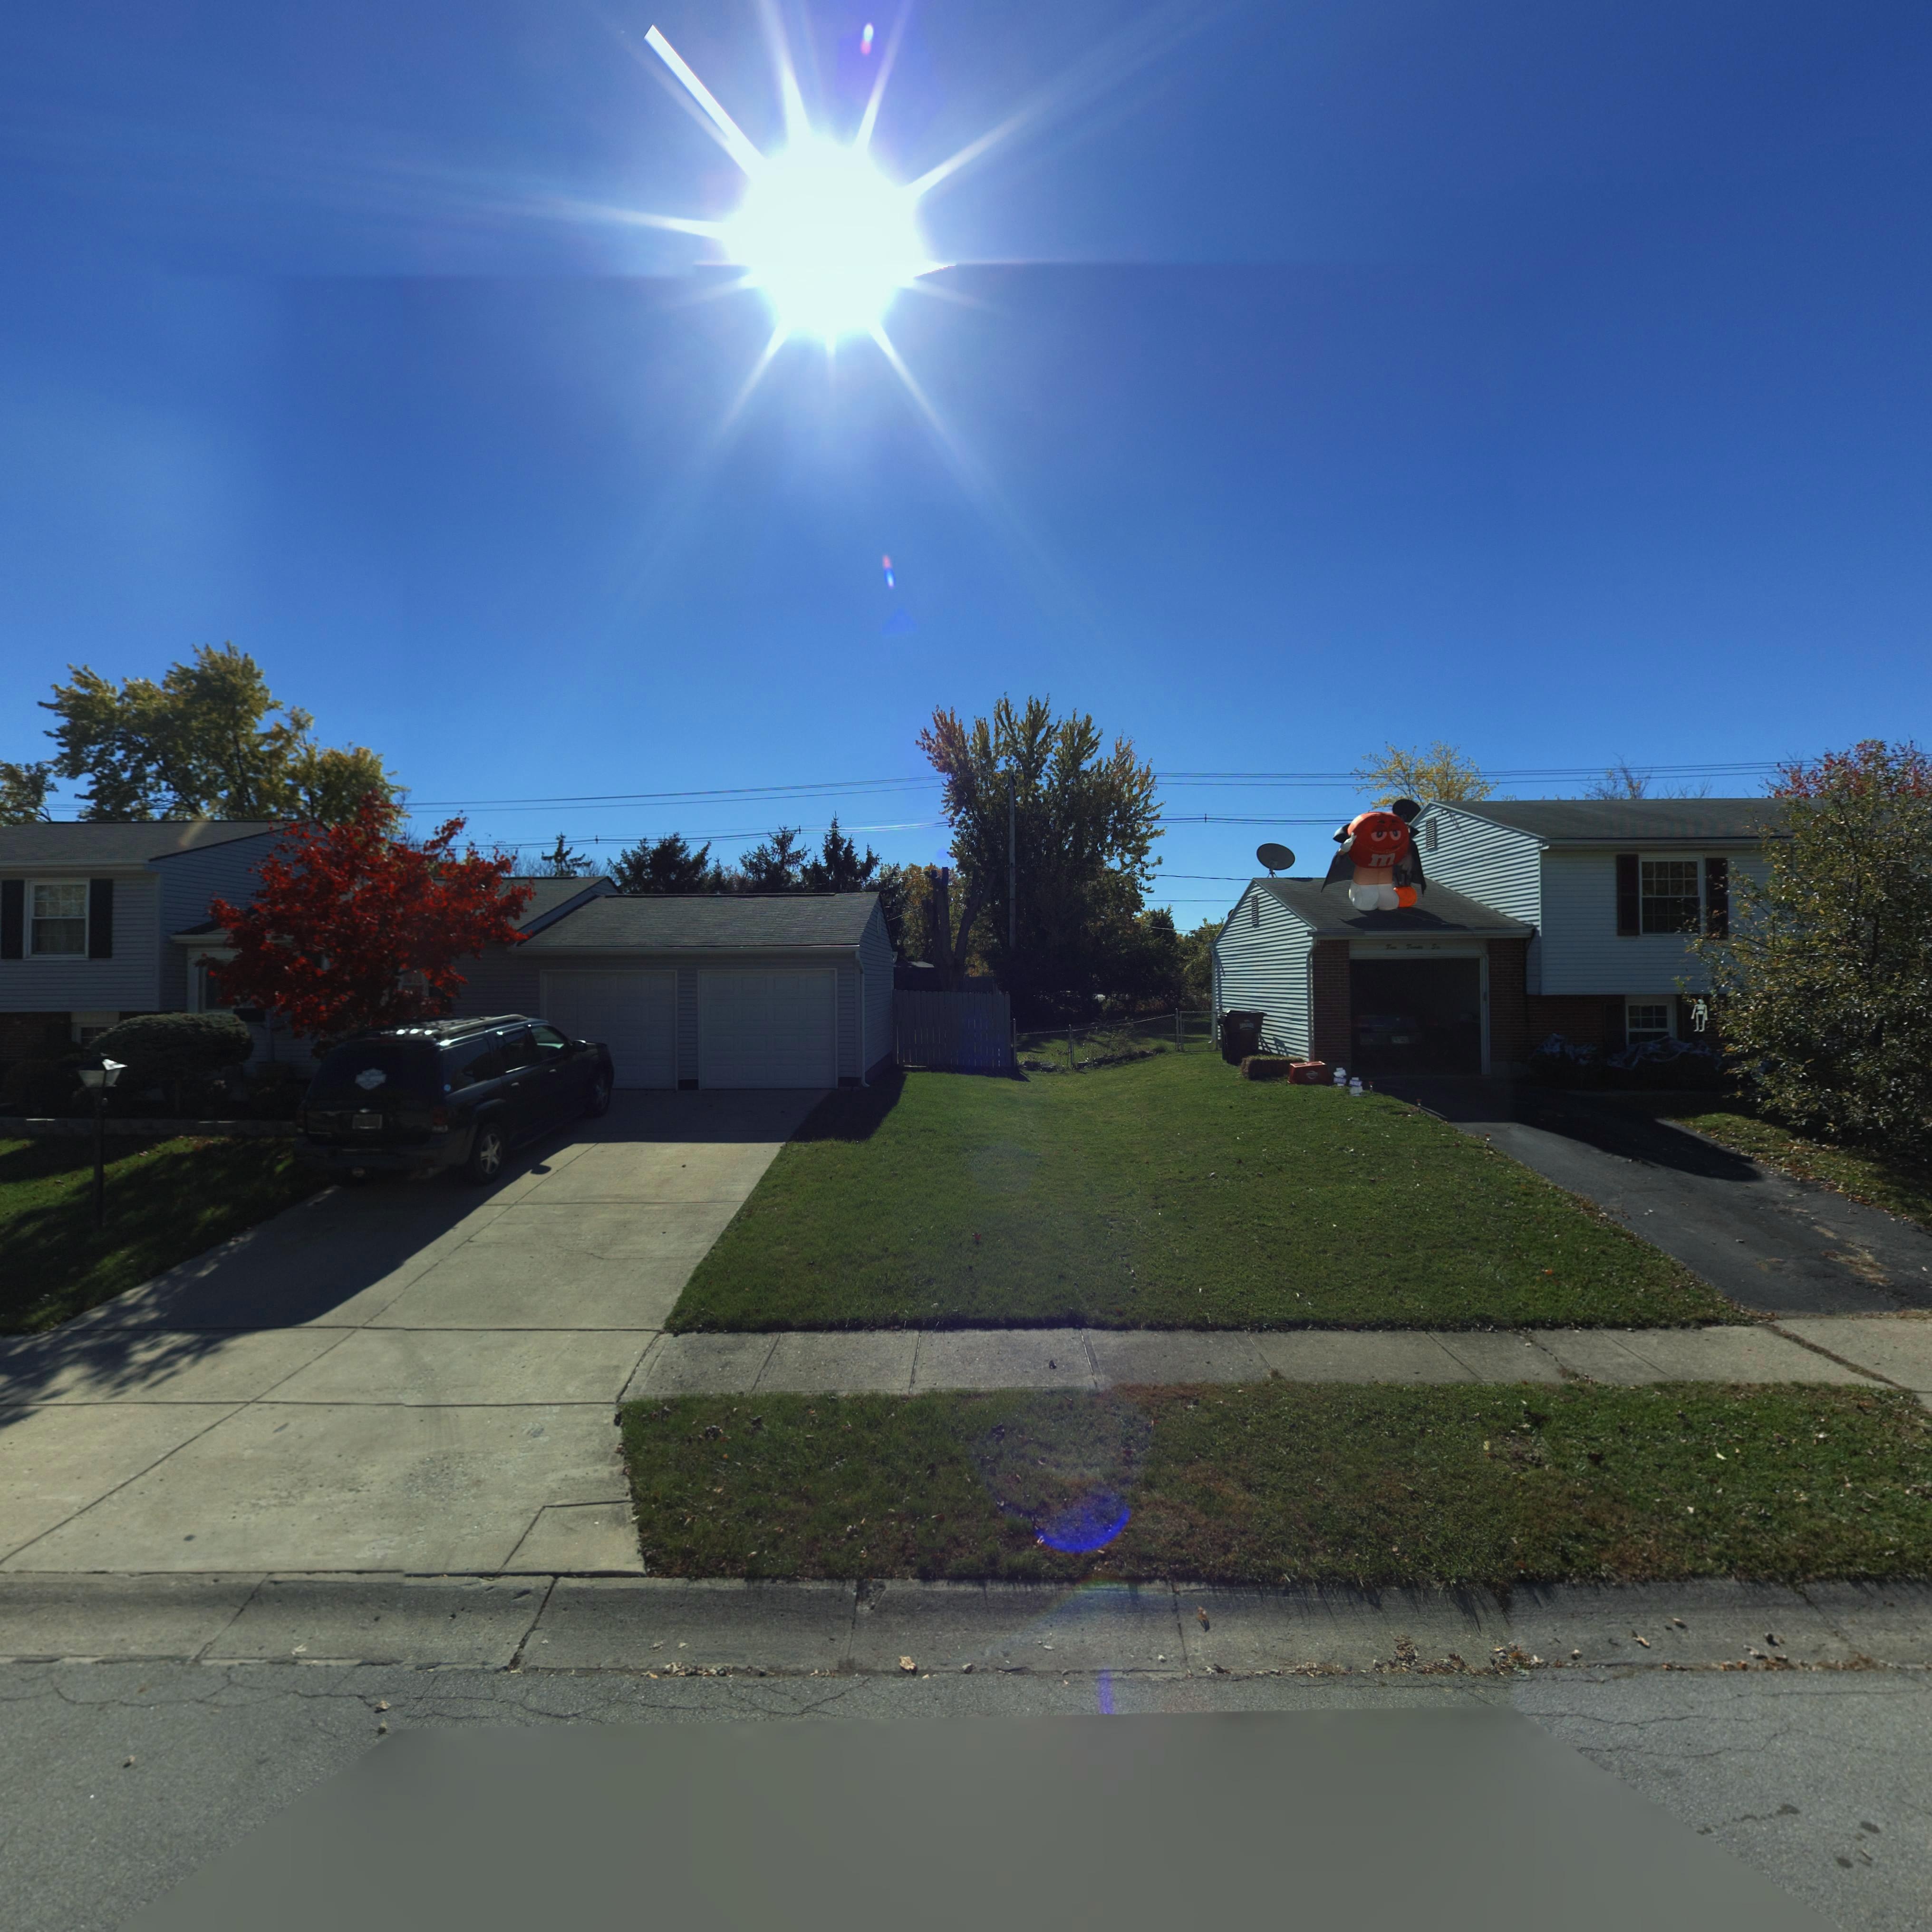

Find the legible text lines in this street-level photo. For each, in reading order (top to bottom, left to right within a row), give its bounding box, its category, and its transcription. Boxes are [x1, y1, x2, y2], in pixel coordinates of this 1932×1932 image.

[1385, 943, 1393, 950] StreetNumber: T
[1405, 944, 1413, 950] StreetNumber: T
[1430, 943, 1437, 950] StreetNumber: S